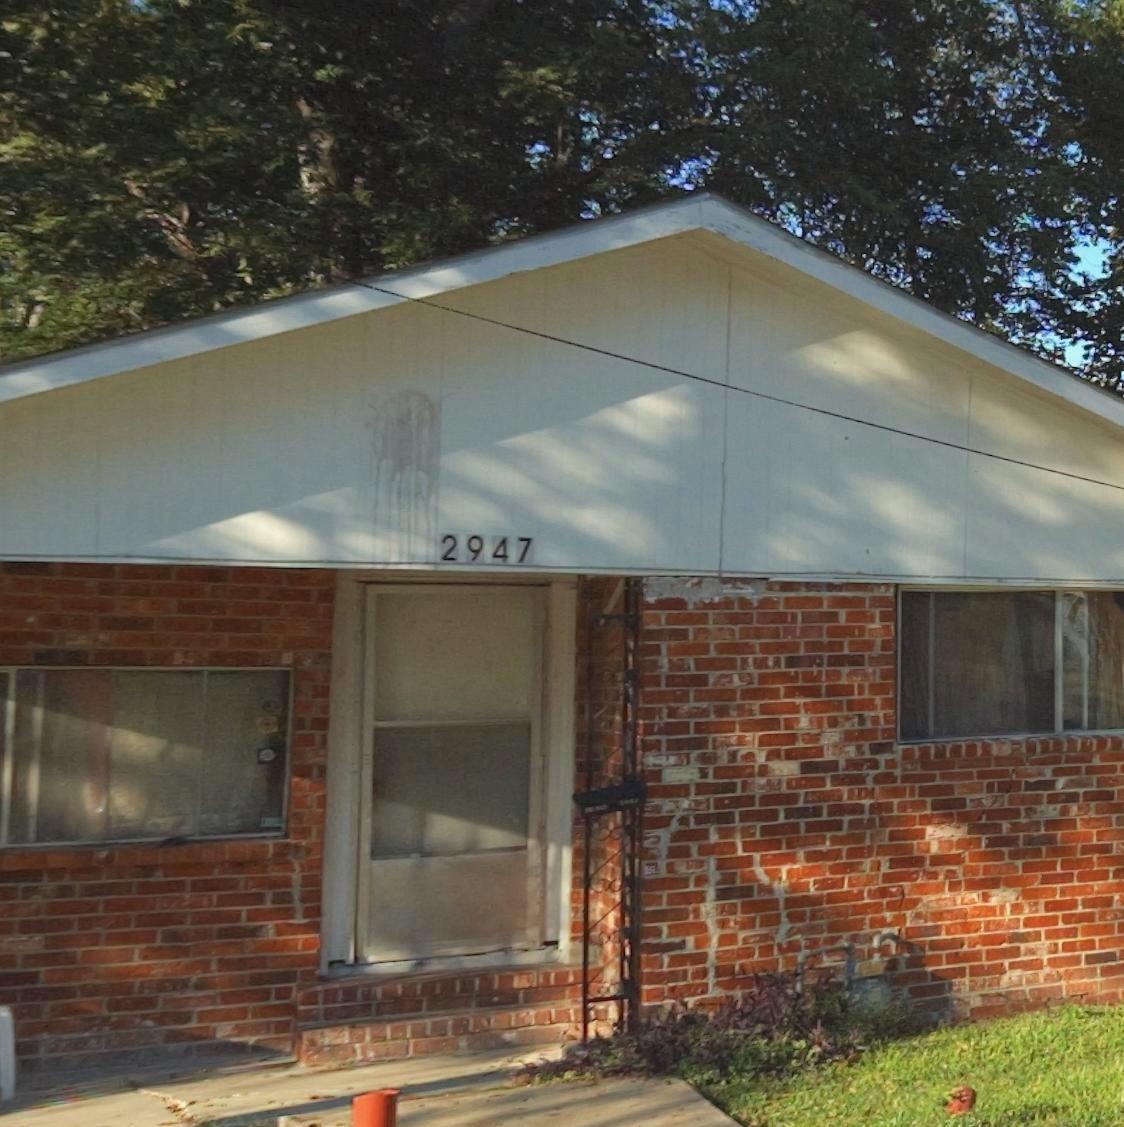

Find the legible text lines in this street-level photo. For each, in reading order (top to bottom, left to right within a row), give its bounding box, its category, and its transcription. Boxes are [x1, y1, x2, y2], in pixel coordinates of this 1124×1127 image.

[438, 532, 539, 566] StreetNumber: 2947